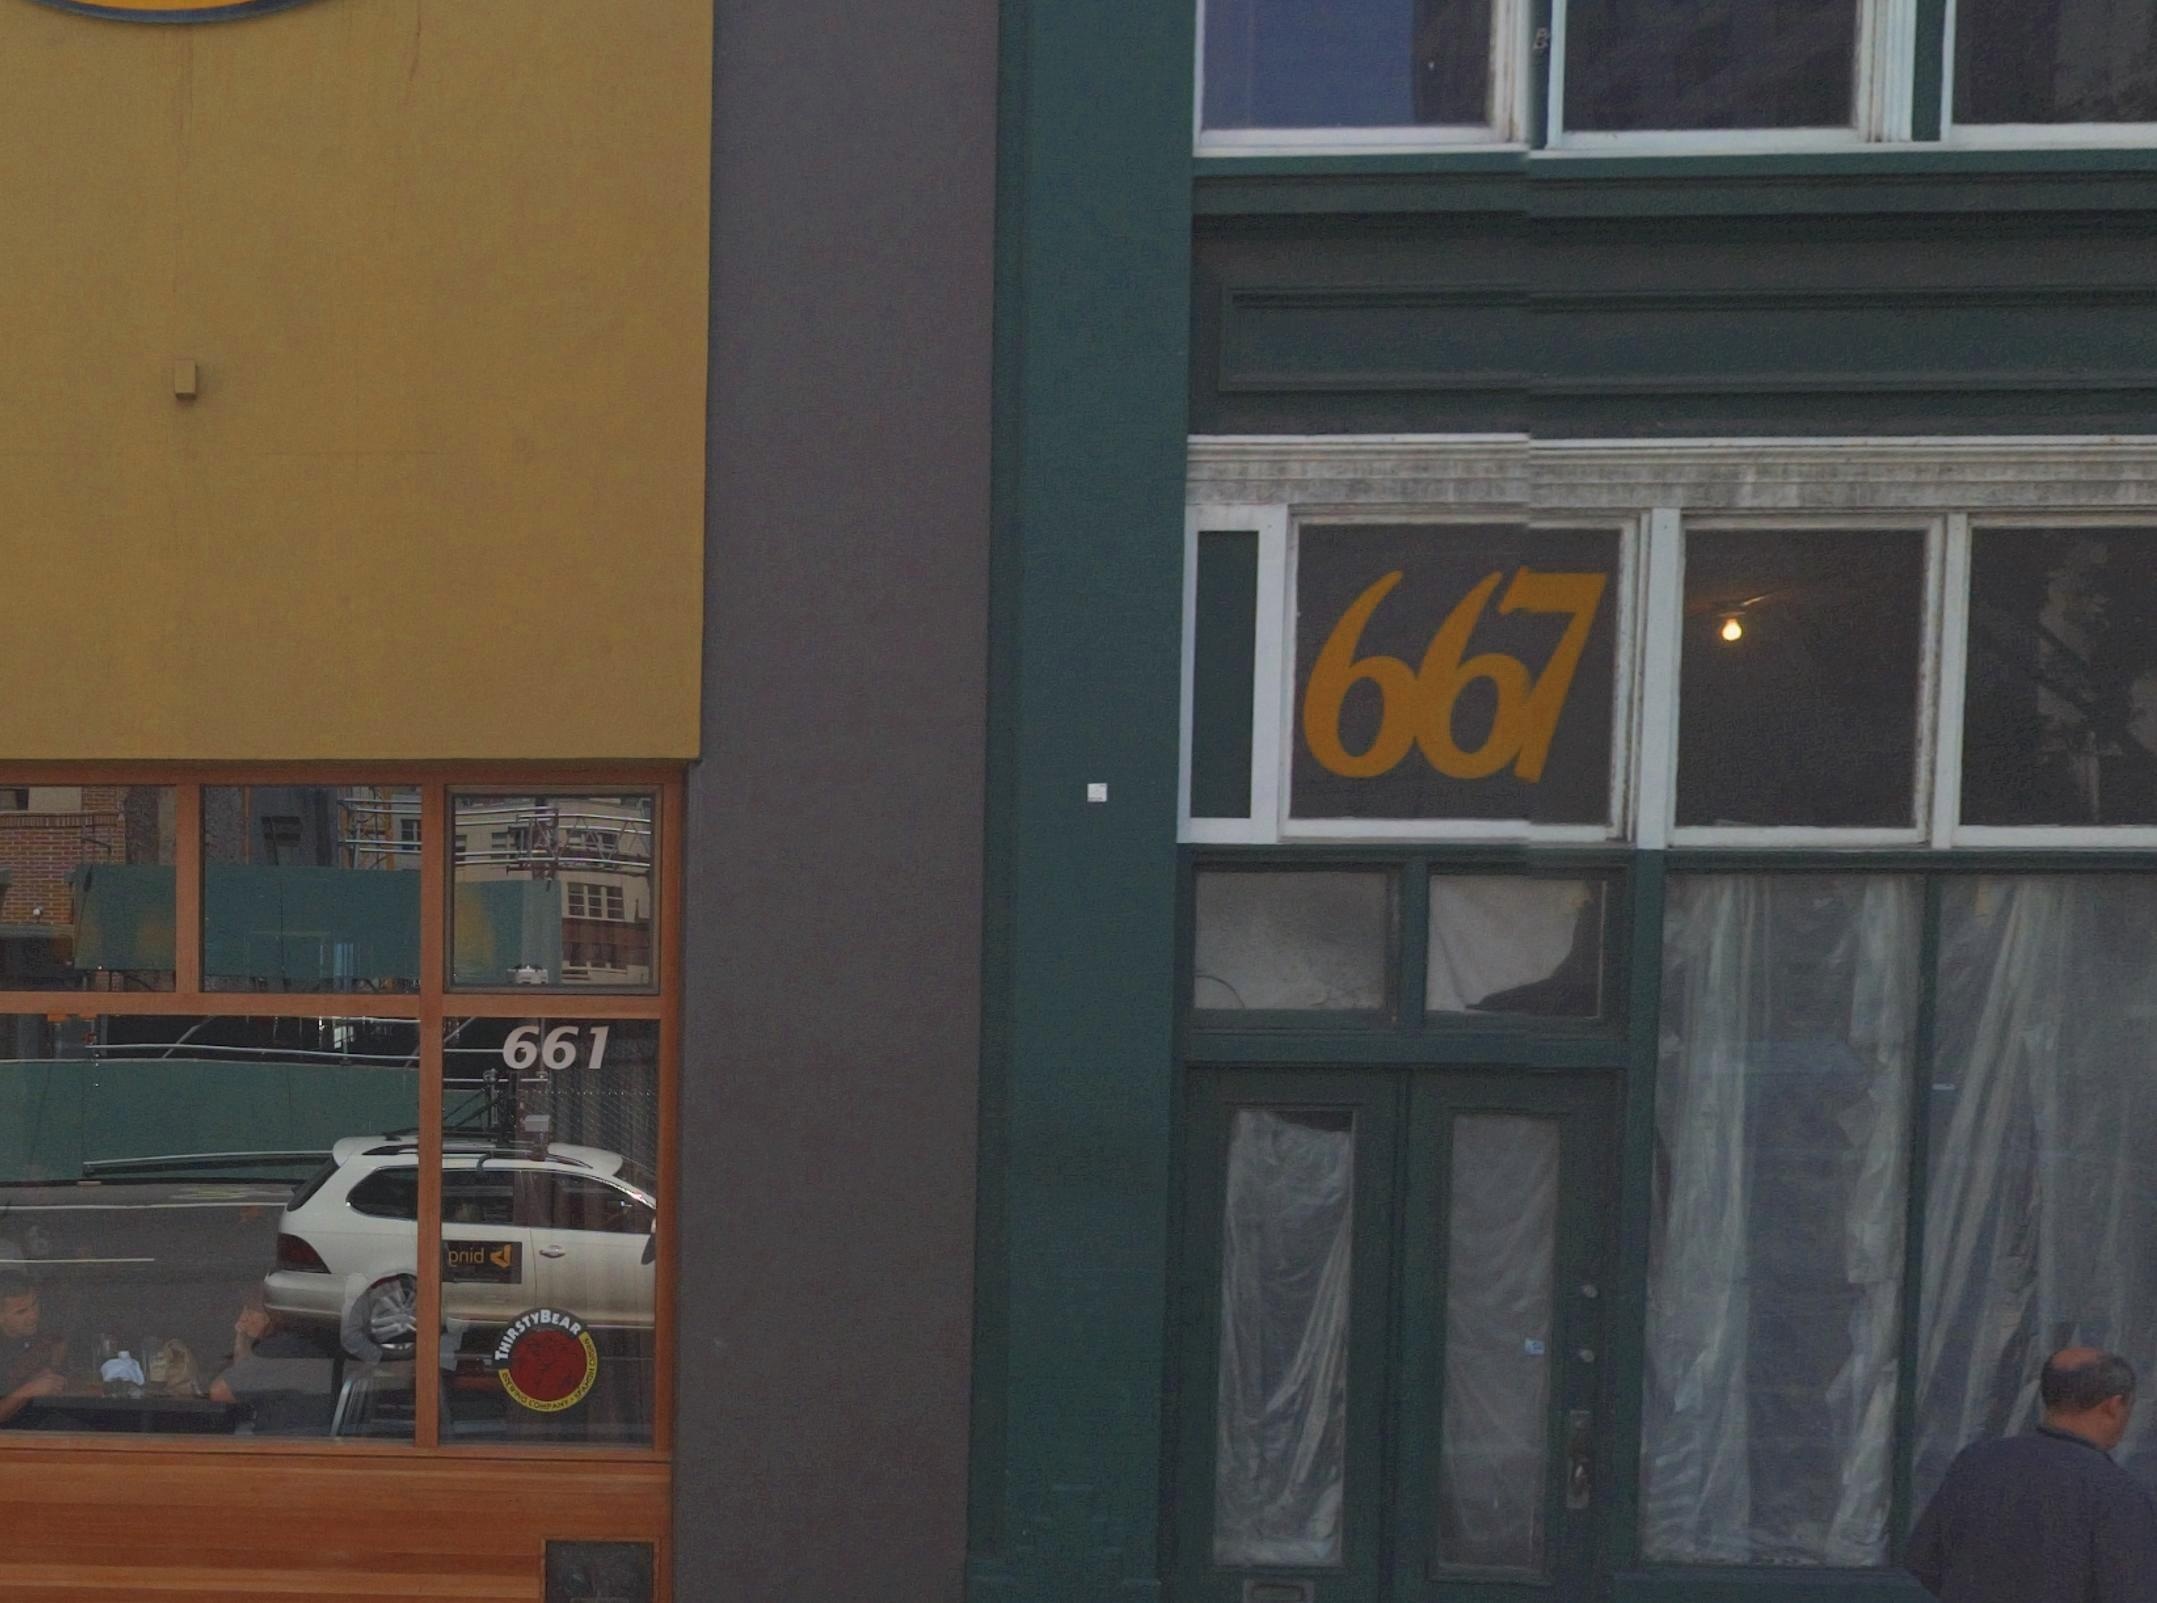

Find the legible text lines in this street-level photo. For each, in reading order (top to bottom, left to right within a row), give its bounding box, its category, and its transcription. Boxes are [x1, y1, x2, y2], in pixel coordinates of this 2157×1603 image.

[1303, 564, 1623, 785] StreetNumber: 667
[500, 1021, 613, 1073] StreetNumber: 661
[492, 1307, 584, 1362] None: THIRSTYBEAR